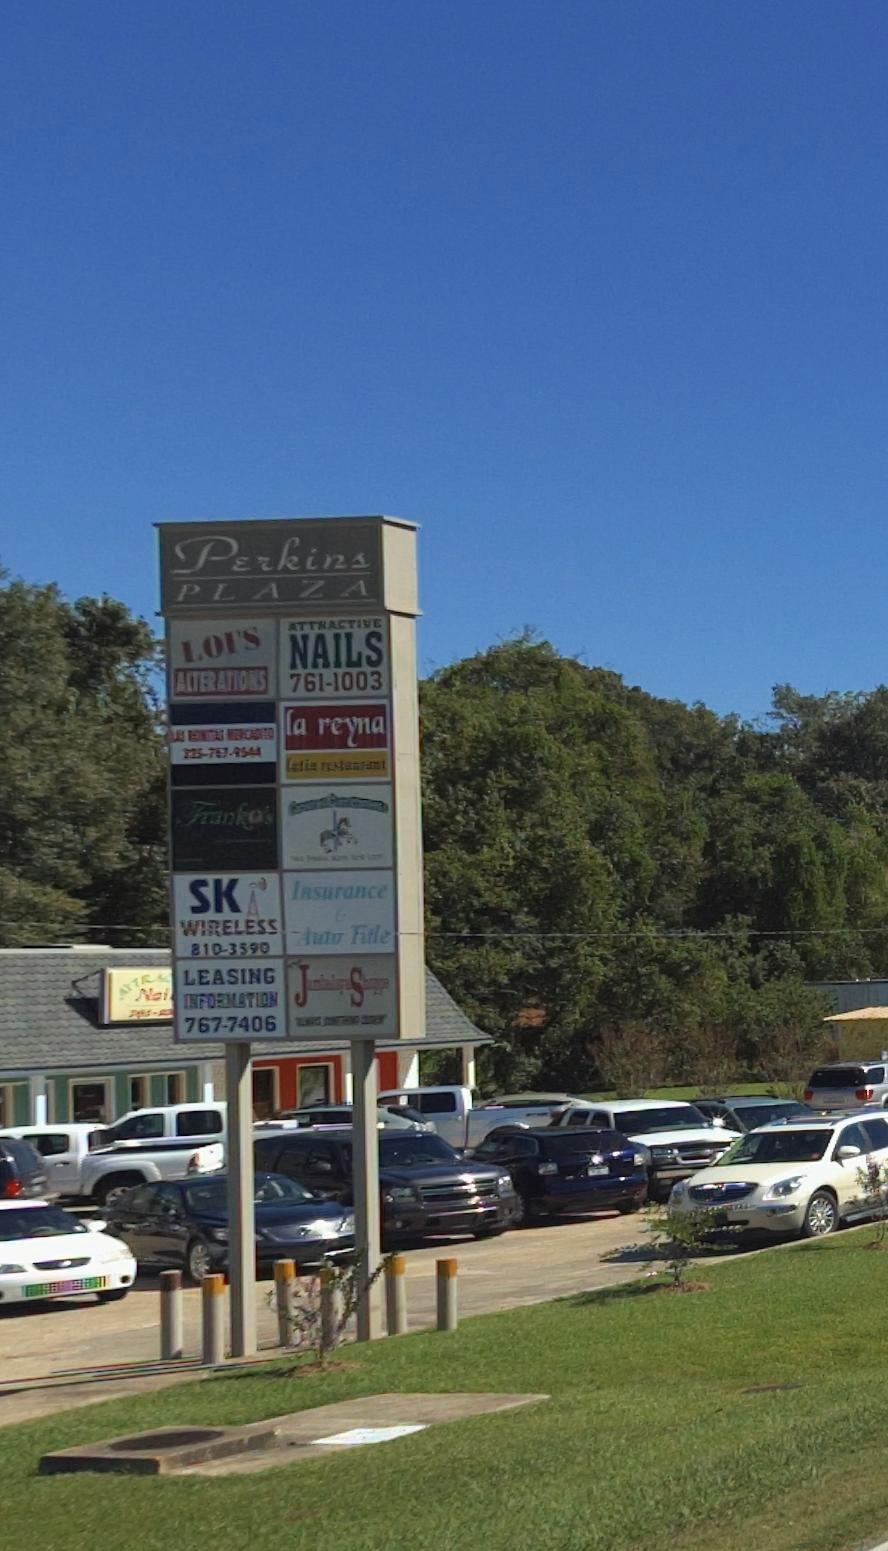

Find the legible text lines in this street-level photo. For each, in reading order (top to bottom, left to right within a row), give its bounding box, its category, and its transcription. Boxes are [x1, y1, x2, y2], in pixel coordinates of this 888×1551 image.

[168, 535, 373, 575] BusinessName: Perkins
[171, 578, 371, 604] BusinessName: PLAZA
[286, 617, 384, 634] BusinessName: ATTRACTIVE
[178, 622, 265, 669] BusinessName: LOTS
[288, 631, 384, 670] BusinessName: NAILS
[174, 669, 268, 694] BusinessName: ALTERATIONS
[289, 670, 384, 695] None: 761-1003
[285, 707, 386, 750] BusinessName: la reyna
[179, 744, 265, 761] None: 225-767-9544
[284, 755, 387, 774] None: latin restaurant
[176, 799, 276, 832] BusinessName: Franko's
[188, 877, 244, 915] BusinessName: SK
[290, 878, 389, 902] BusinessName: Insurance
[178, 917, 279, 938] BusinessName: WIRELESS
[293, 922, 393, 948] BusinessName: Auto Title
[190, 941, 272, 957] None: 810-3590
[116, 970, 154, 1005] BusinessName: A**R
[134, 986, 171, 1003] BusinessName: Nai
[182, 966, 277, 986] None: LEASING
[181, 990, 279, 1012] None: INFORMATION
[293, 963, 390, 1009] BusinessName: J*mb*l*y*Sh*ppe
[183, 1013, 278, 1035] None: 767-7406